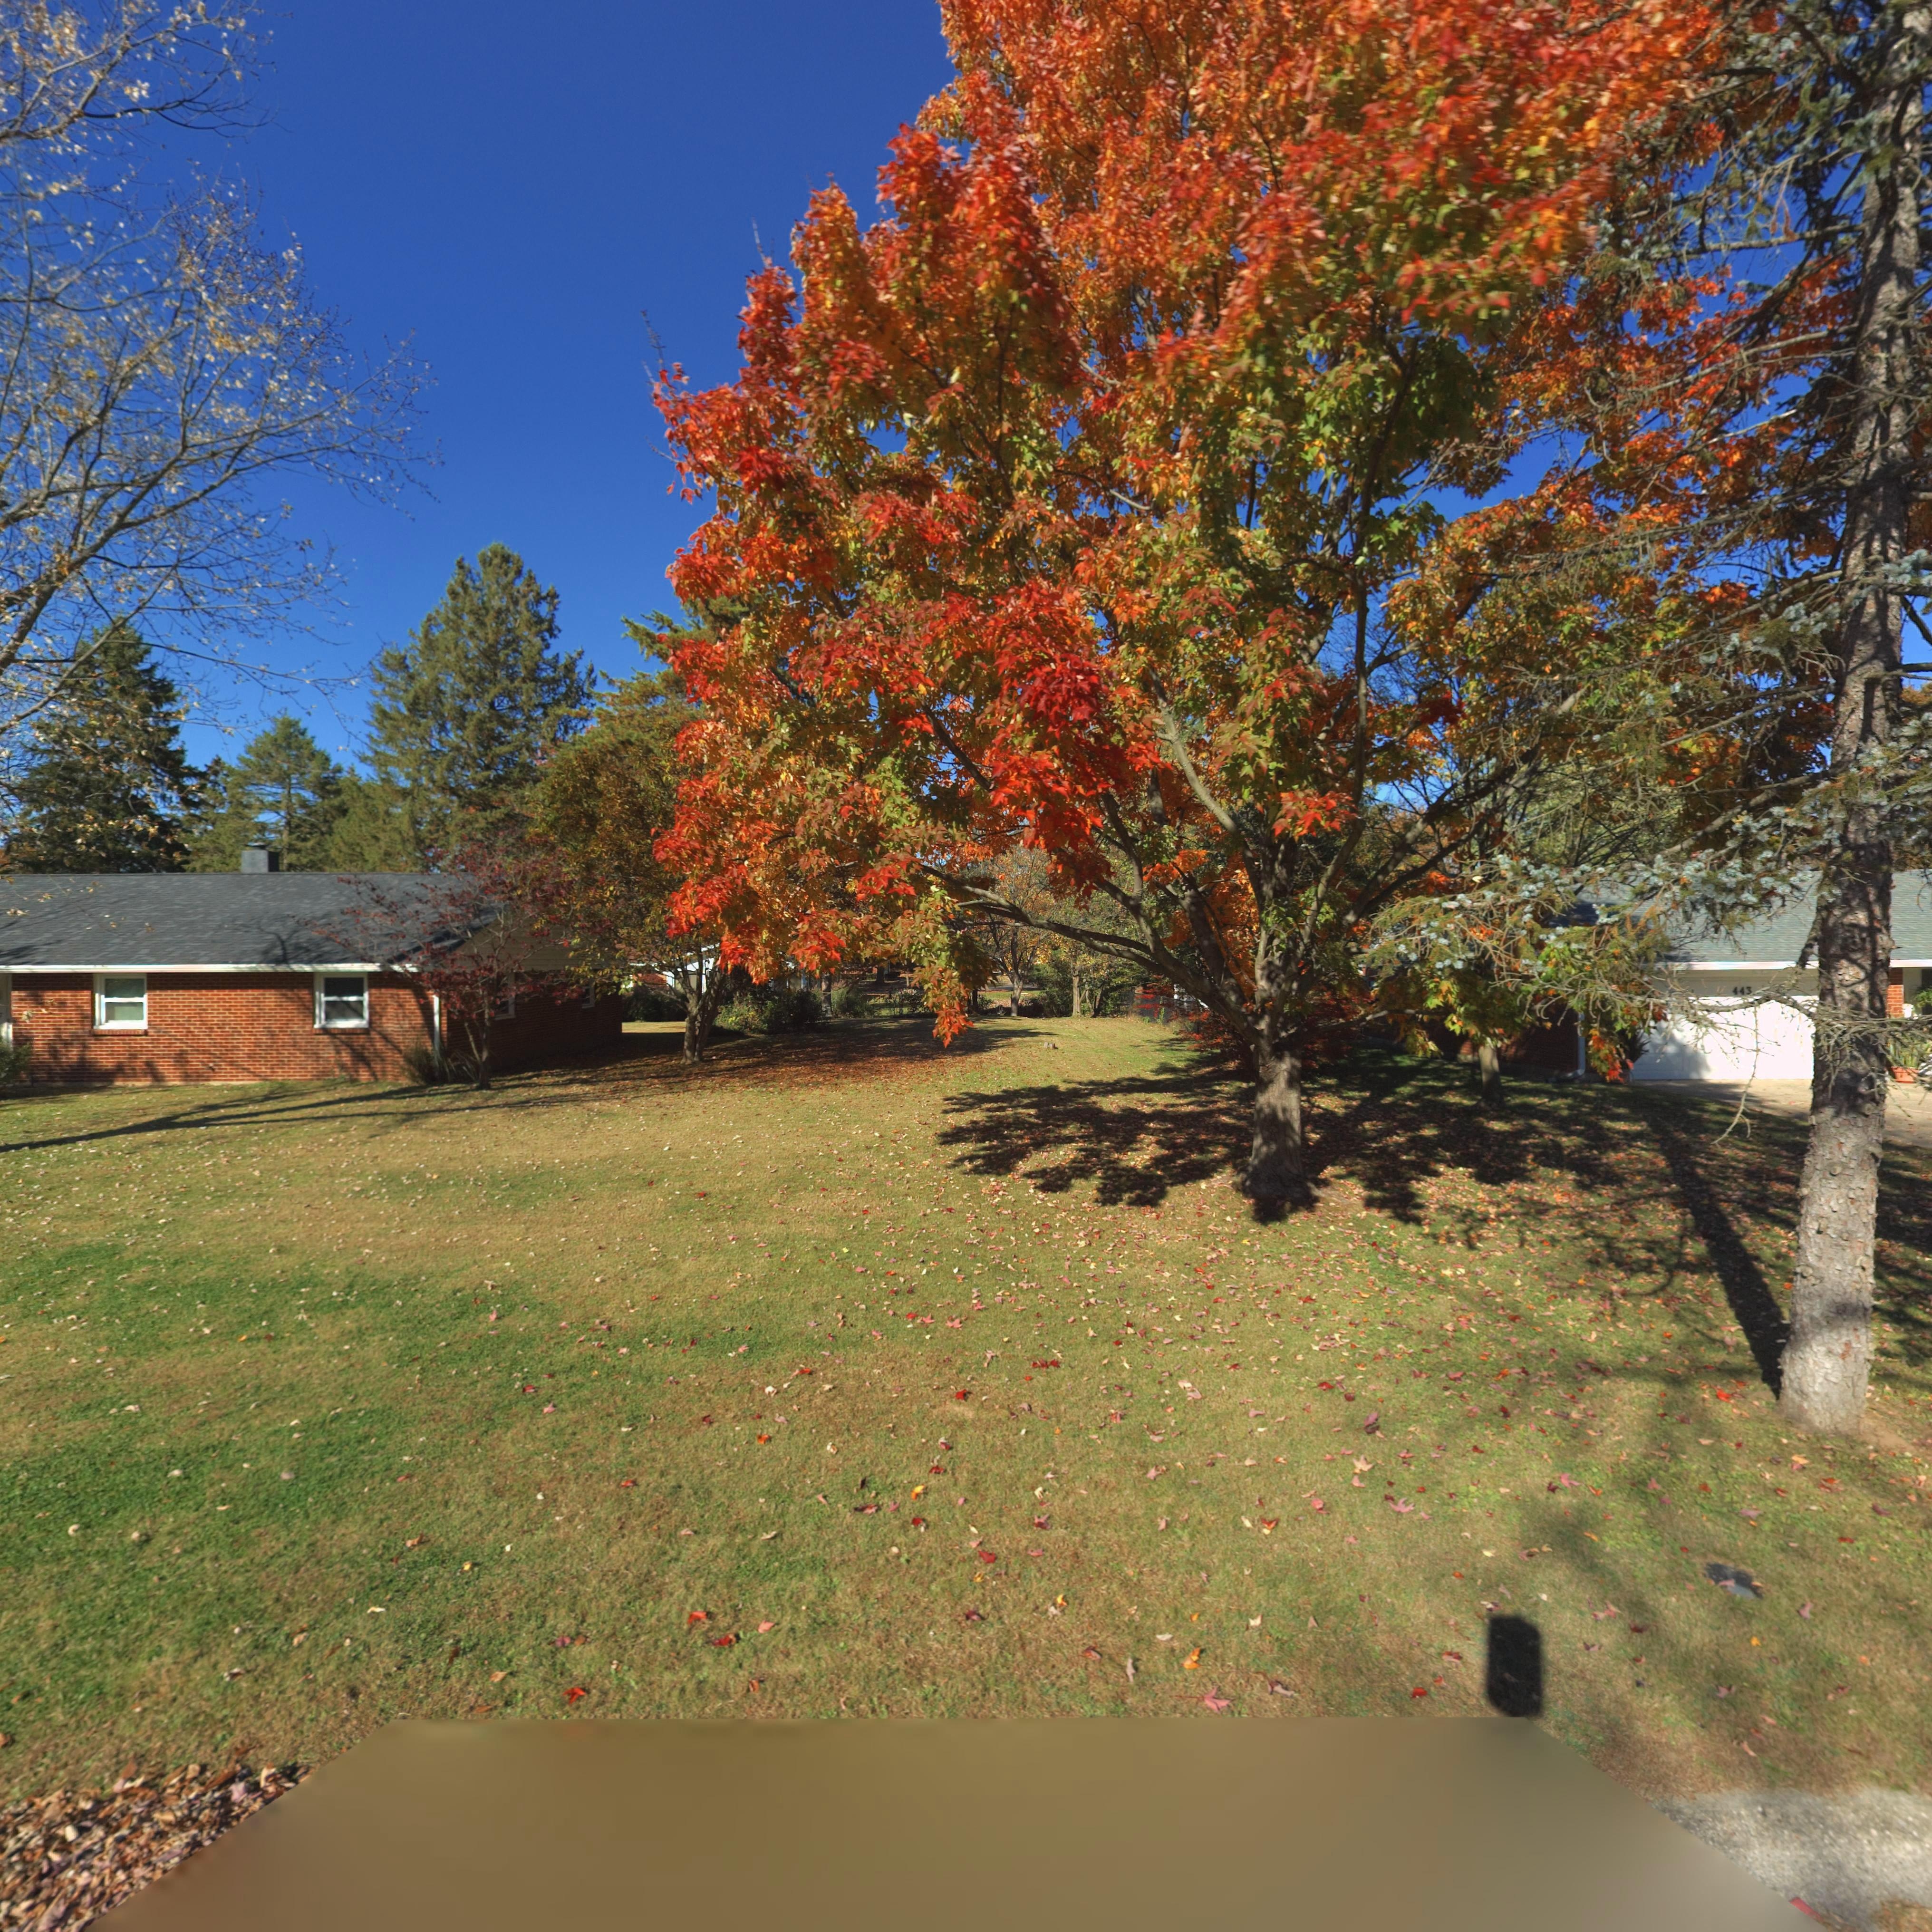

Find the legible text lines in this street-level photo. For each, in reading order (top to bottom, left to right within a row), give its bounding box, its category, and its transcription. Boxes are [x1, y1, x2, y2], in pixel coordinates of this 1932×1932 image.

[1732, 986, 1752, 995] StreetNumber: 443